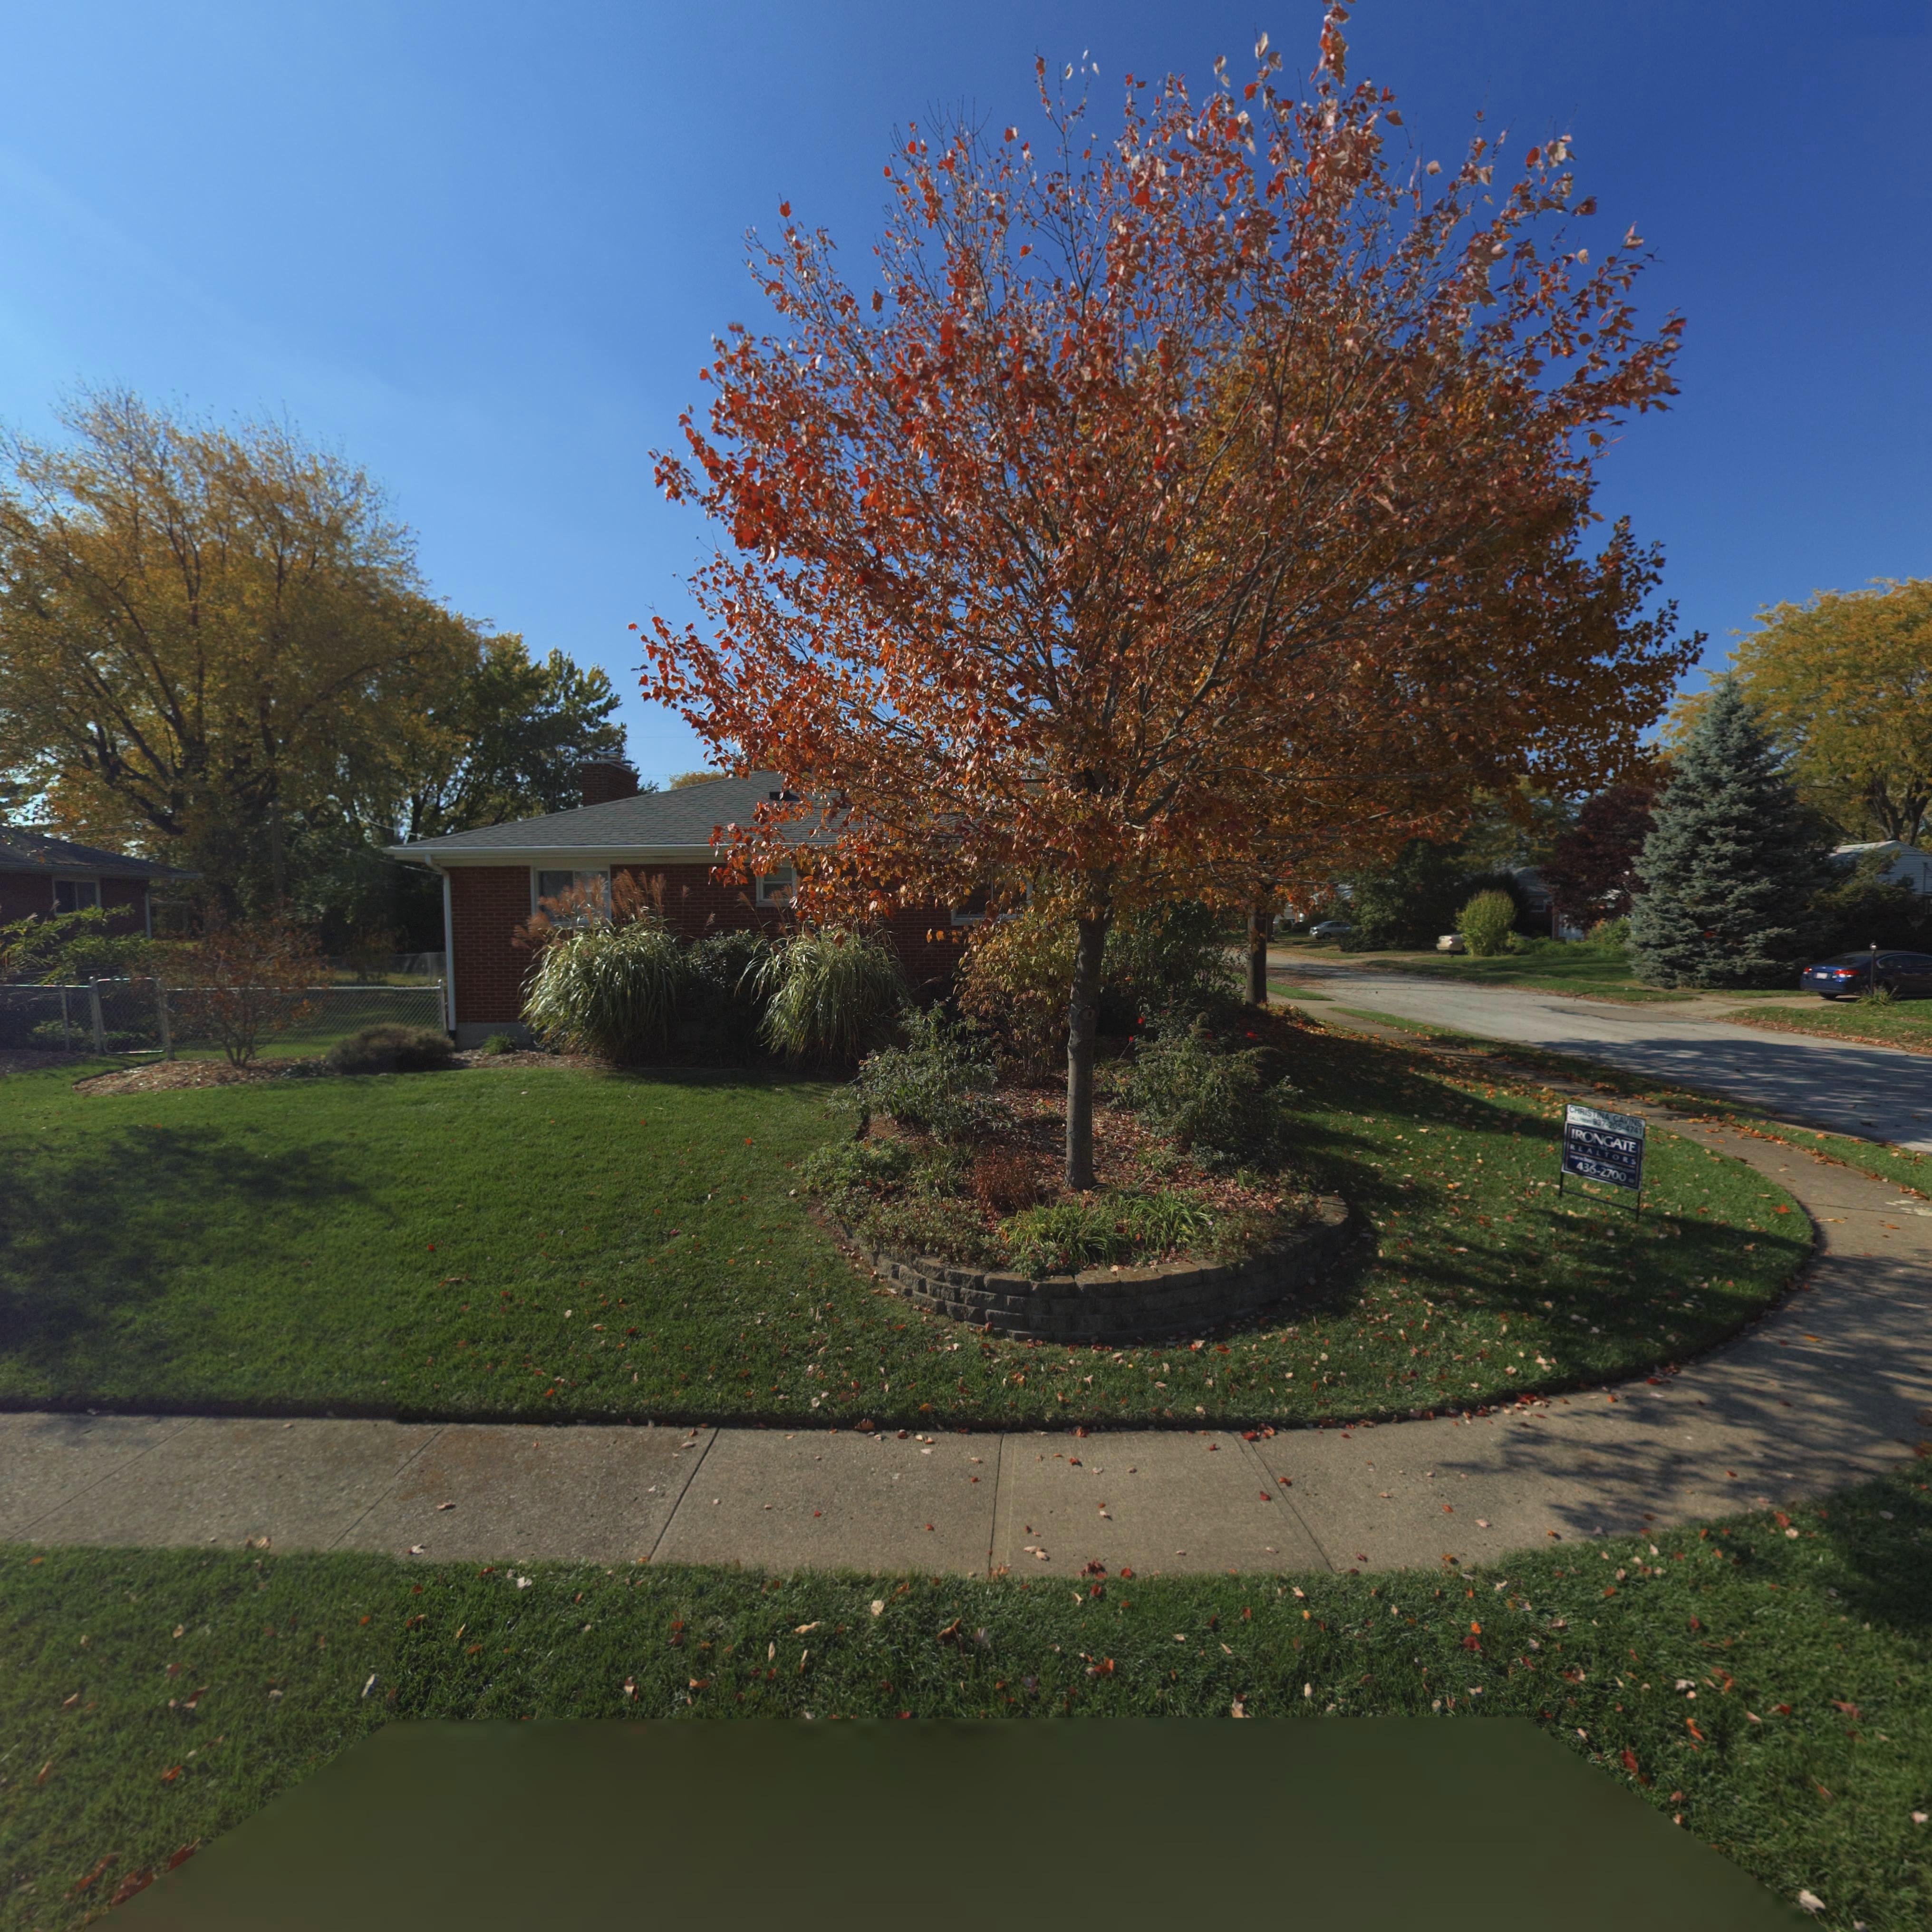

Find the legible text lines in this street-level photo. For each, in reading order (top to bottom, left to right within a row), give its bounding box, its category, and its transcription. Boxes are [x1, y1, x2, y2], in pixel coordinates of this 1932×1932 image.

[1568, 1105, 1642, 1128] None: CHRISTINA CAVINS
[1592, 1117, 1642, 1136] None: 937-205-4741
[1570, 1127, 1638, 1154] None: IRONGATE
[1569, 1143, 1636, 1166] None: REALTORS
[1575, 1161, 1627, 1183] None: 436-2700